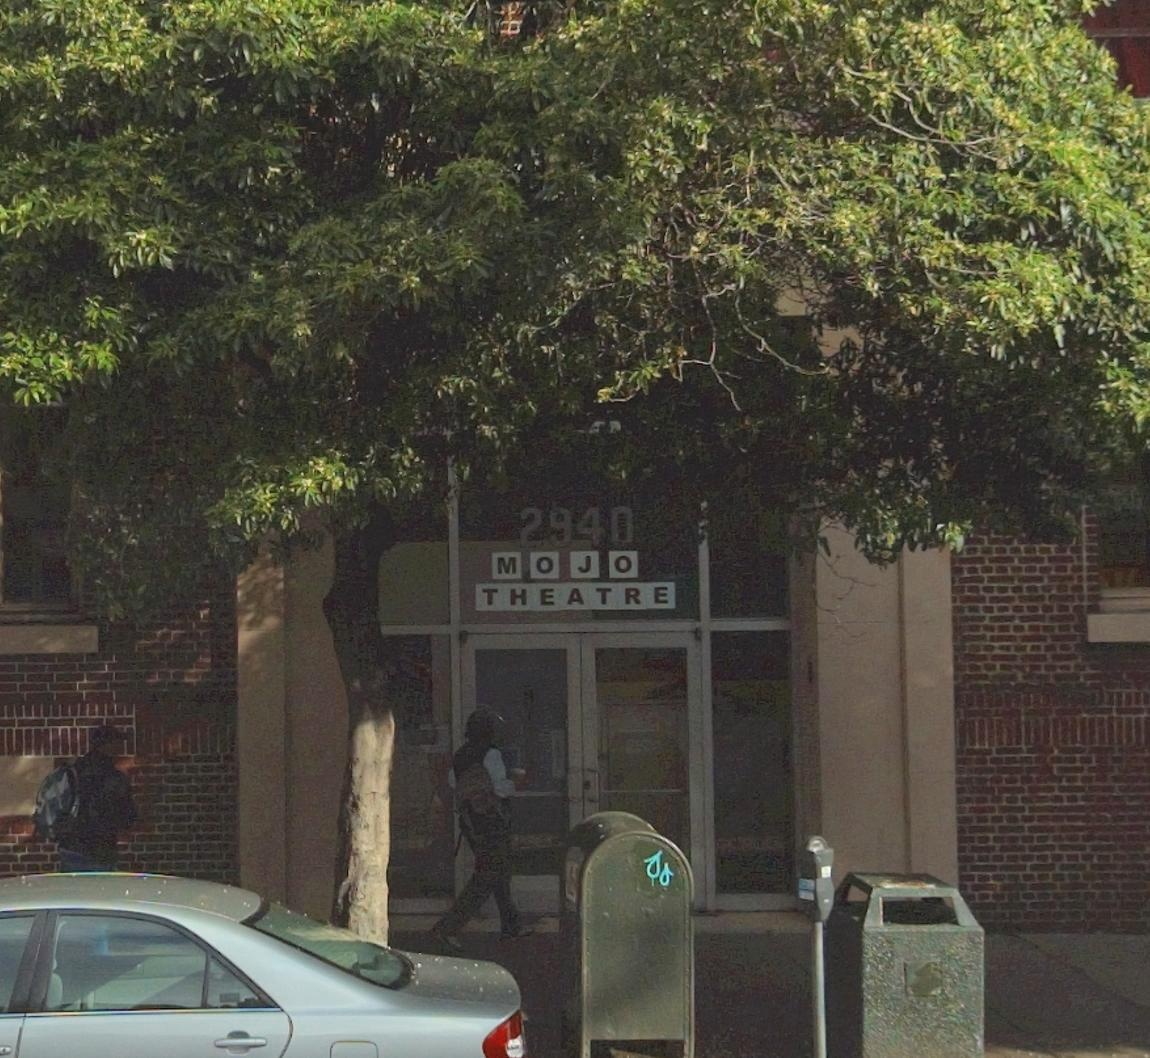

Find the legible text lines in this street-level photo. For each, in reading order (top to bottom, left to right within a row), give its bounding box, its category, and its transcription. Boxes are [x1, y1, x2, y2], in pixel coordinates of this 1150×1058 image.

[518, 504, 636, 547] StreetNumber: 2940
[496, 555, 632, 573] BusinessName: MOJO
[480, 586, 669, 606] BusinessName: THEATRE